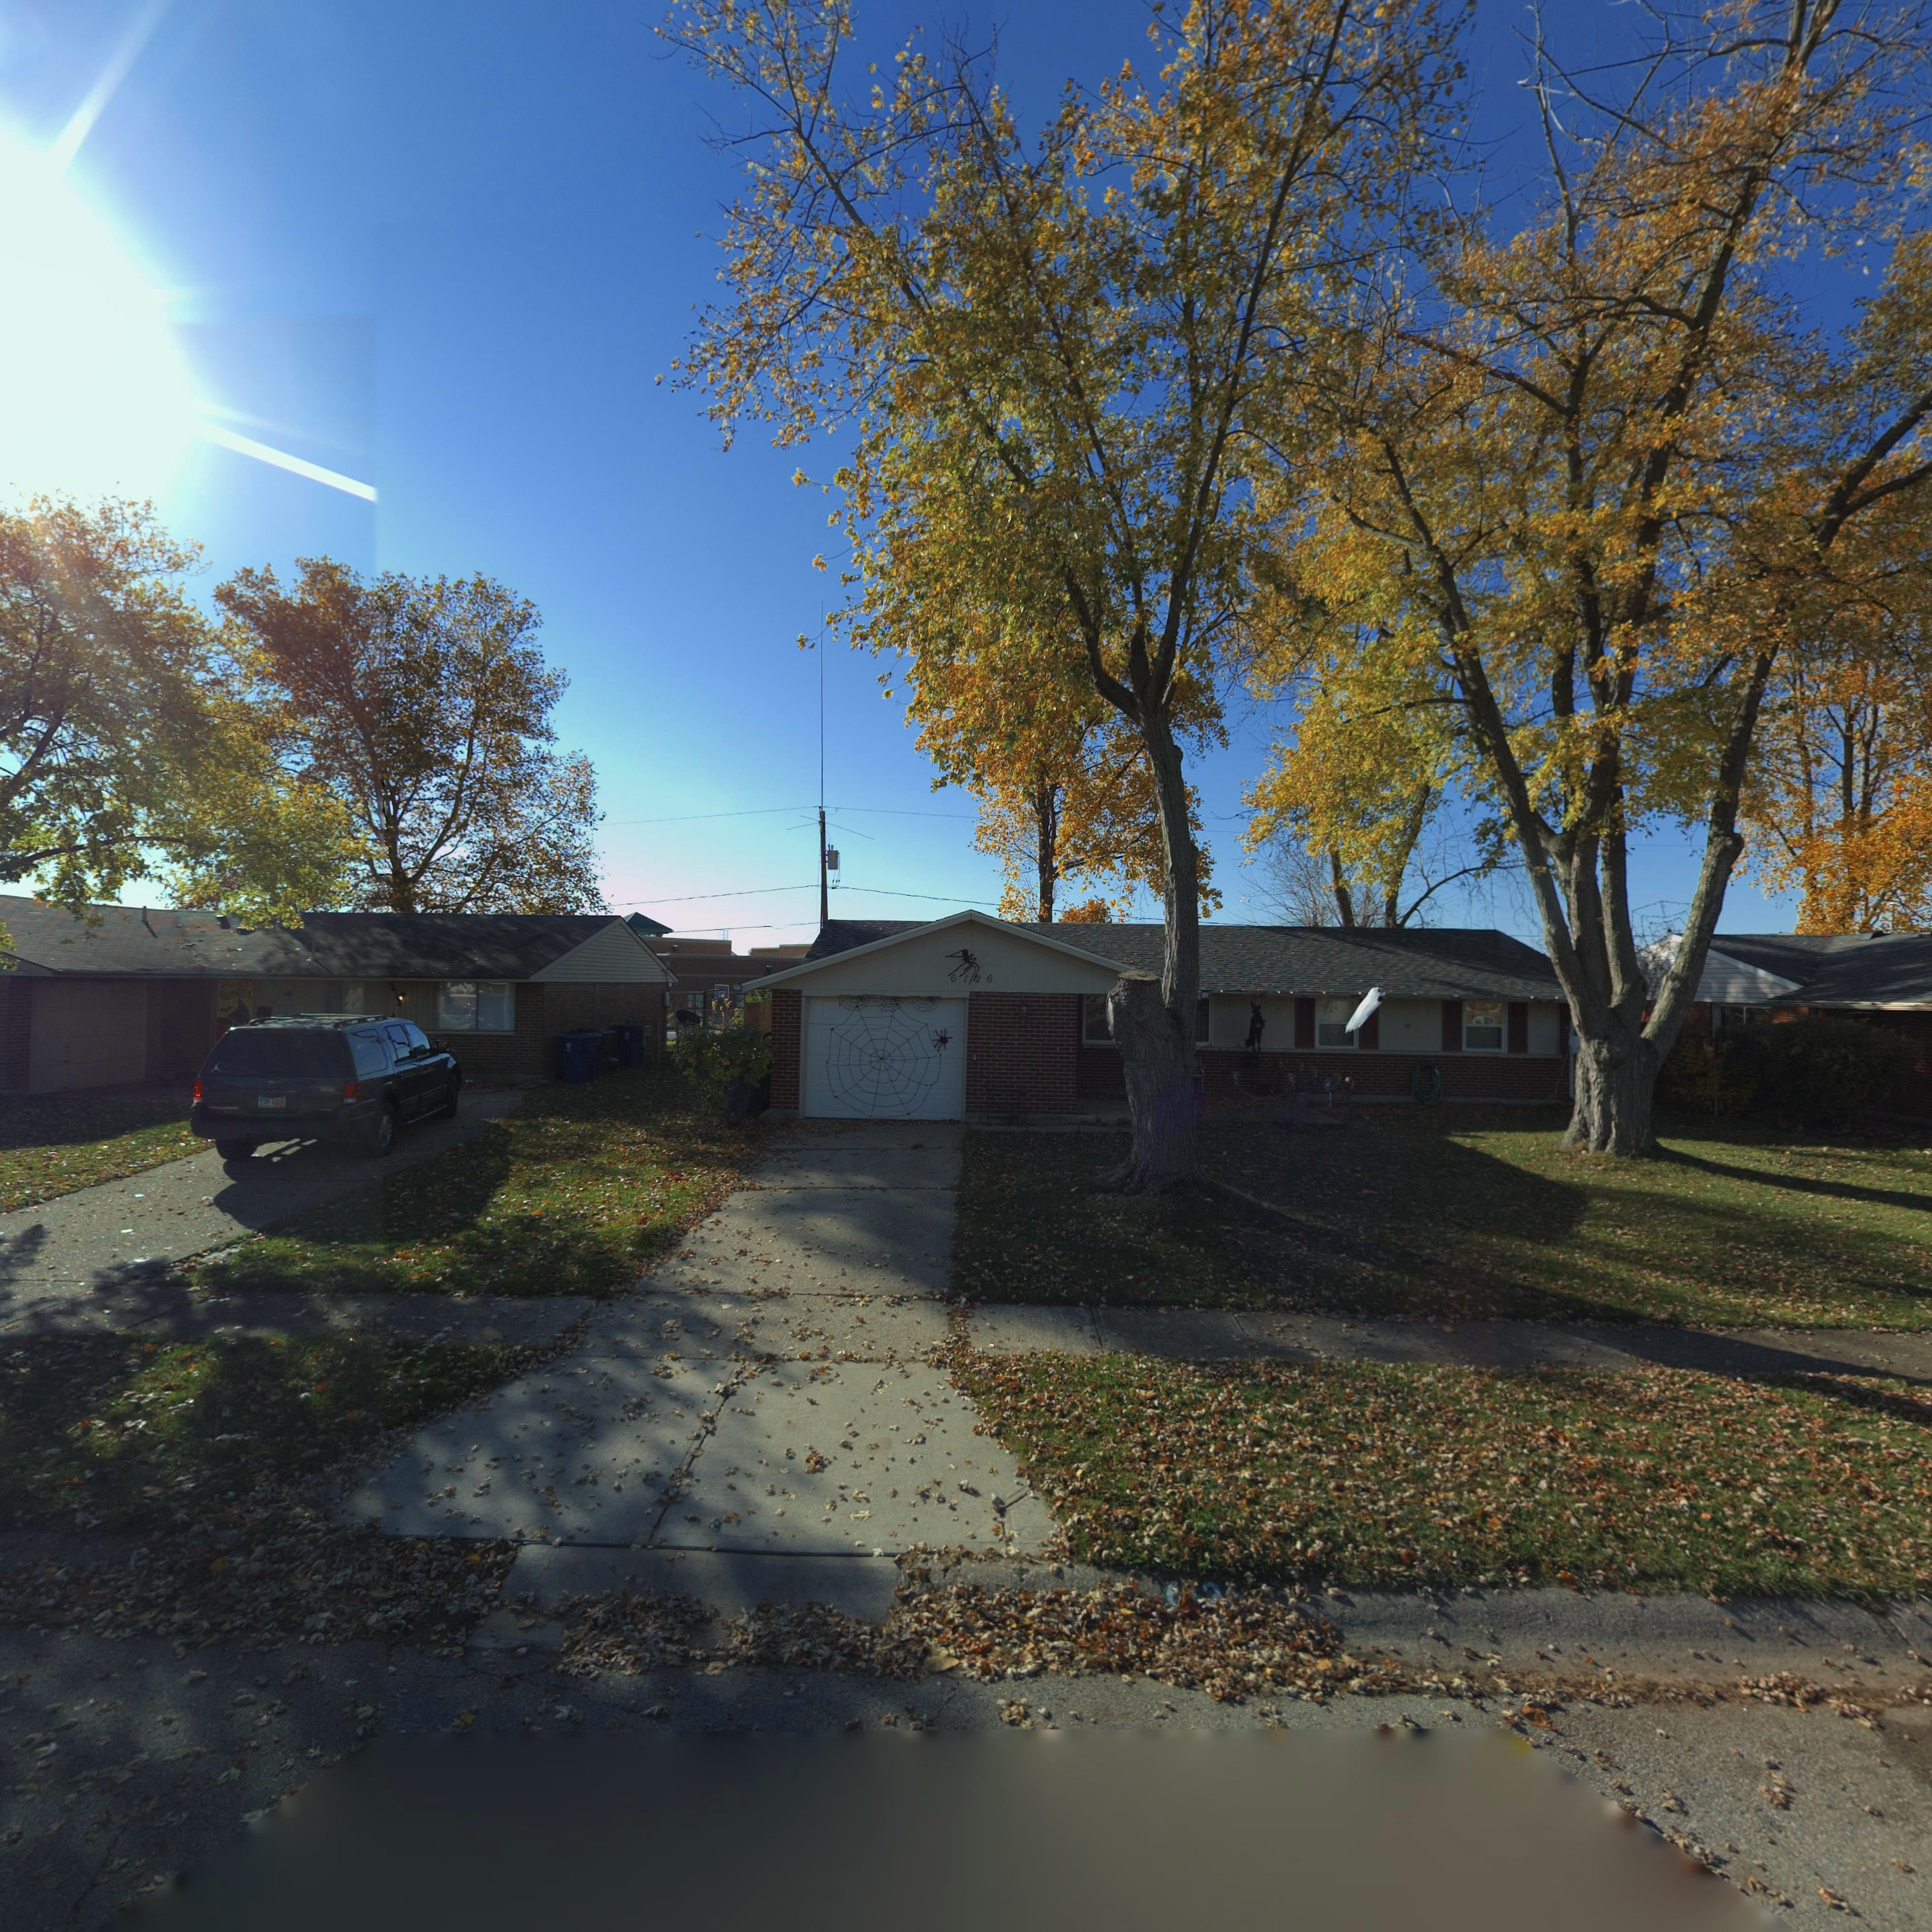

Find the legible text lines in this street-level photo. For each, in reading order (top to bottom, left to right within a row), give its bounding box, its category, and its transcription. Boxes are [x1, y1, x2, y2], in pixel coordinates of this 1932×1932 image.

[950, 973, 993, 984] StreetNumber: 6126